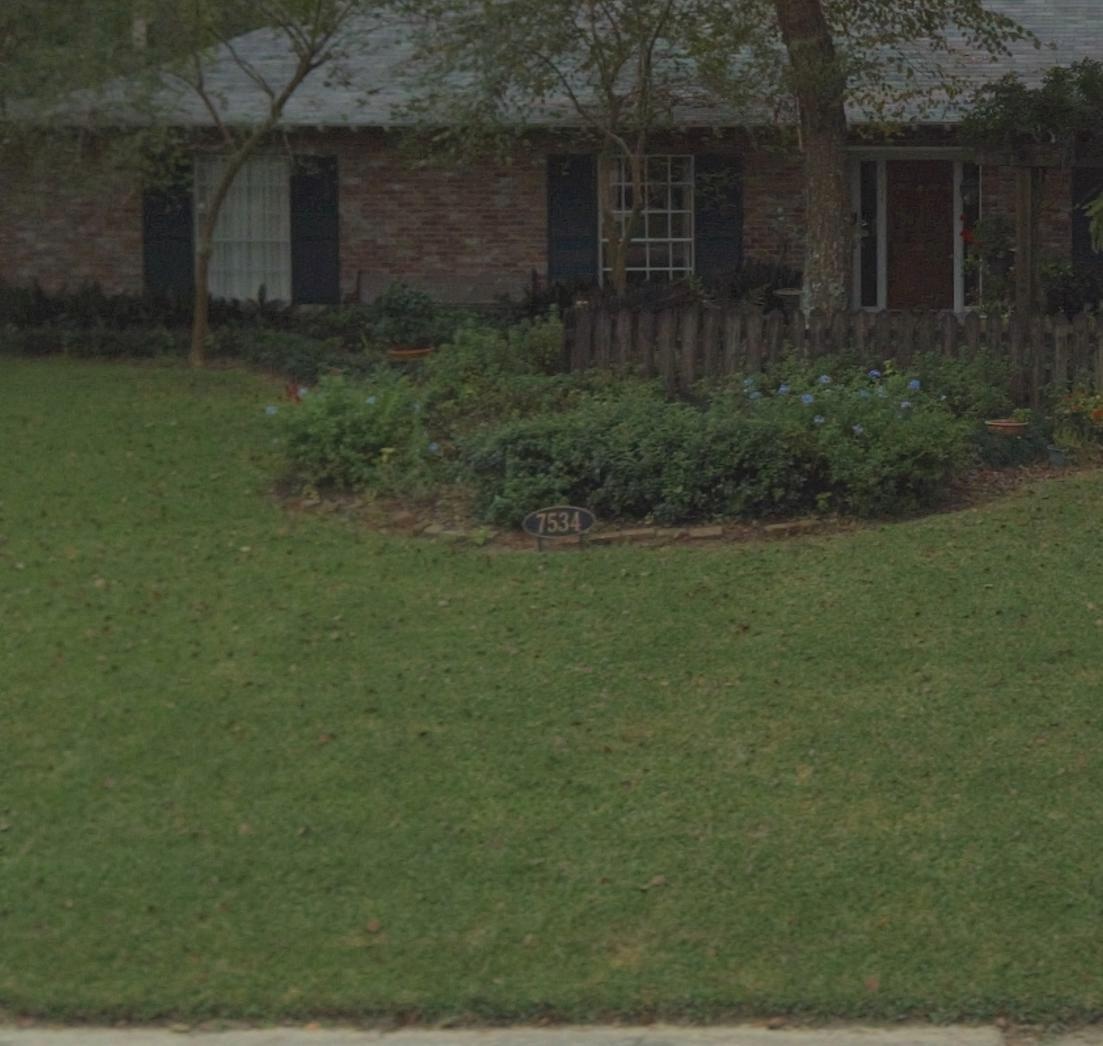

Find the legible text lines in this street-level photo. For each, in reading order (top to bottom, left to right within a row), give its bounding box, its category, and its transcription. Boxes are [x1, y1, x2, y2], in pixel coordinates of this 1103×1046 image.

[534, 512, 583, 534] StreetNumber: 7534